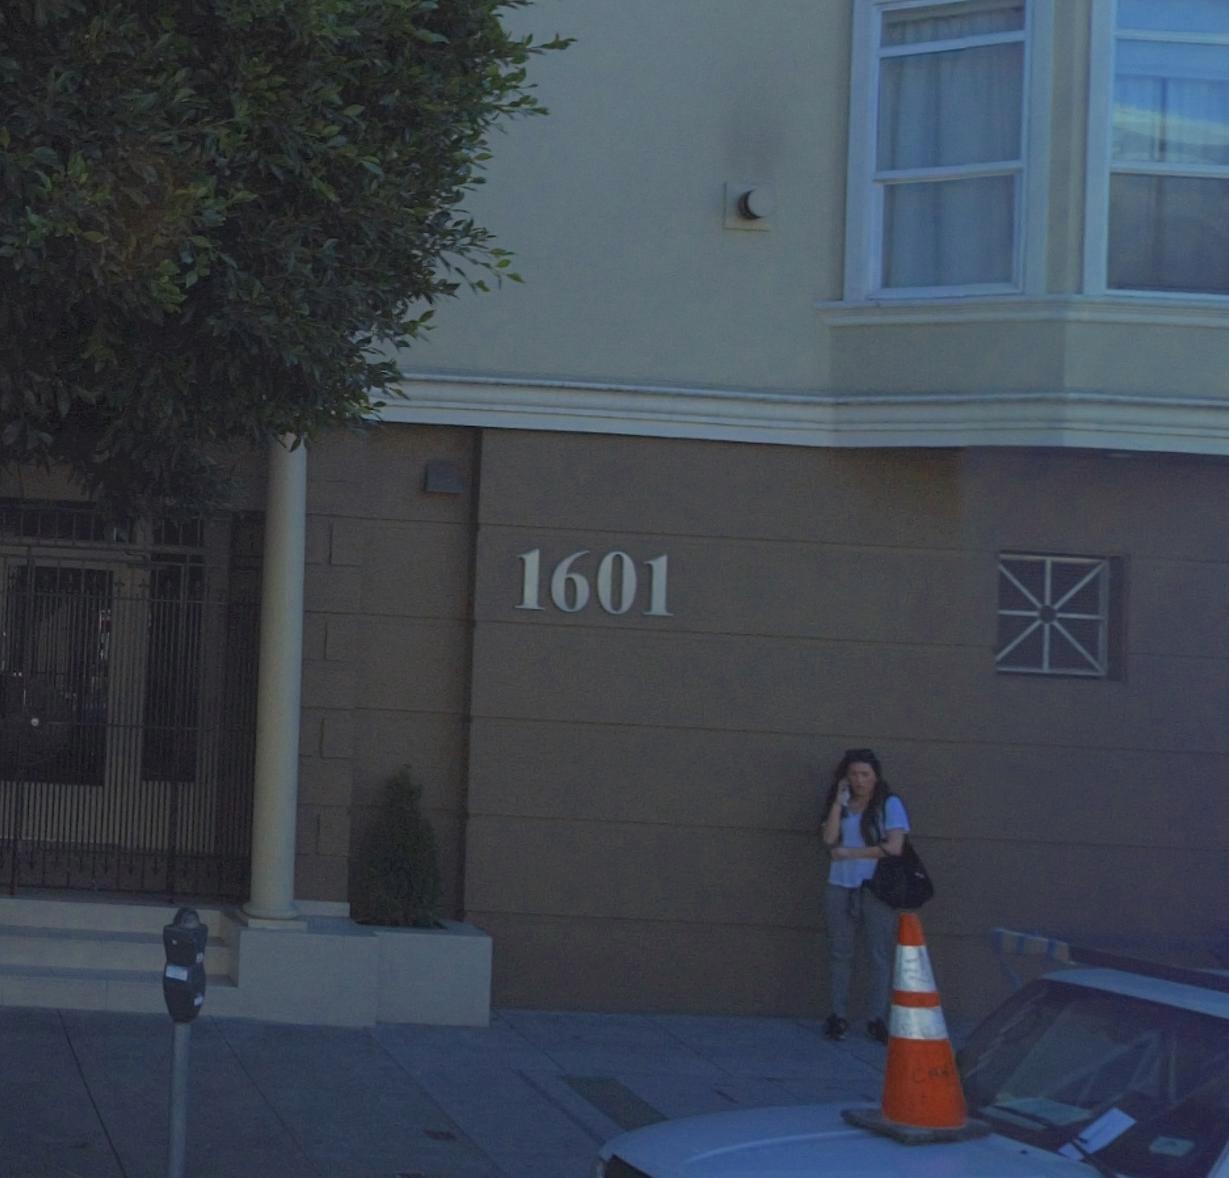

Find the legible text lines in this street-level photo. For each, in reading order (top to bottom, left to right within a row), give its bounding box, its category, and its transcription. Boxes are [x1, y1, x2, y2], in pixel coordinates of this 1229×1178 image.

[510, 542, 676, 619] StreetNumber: 1601